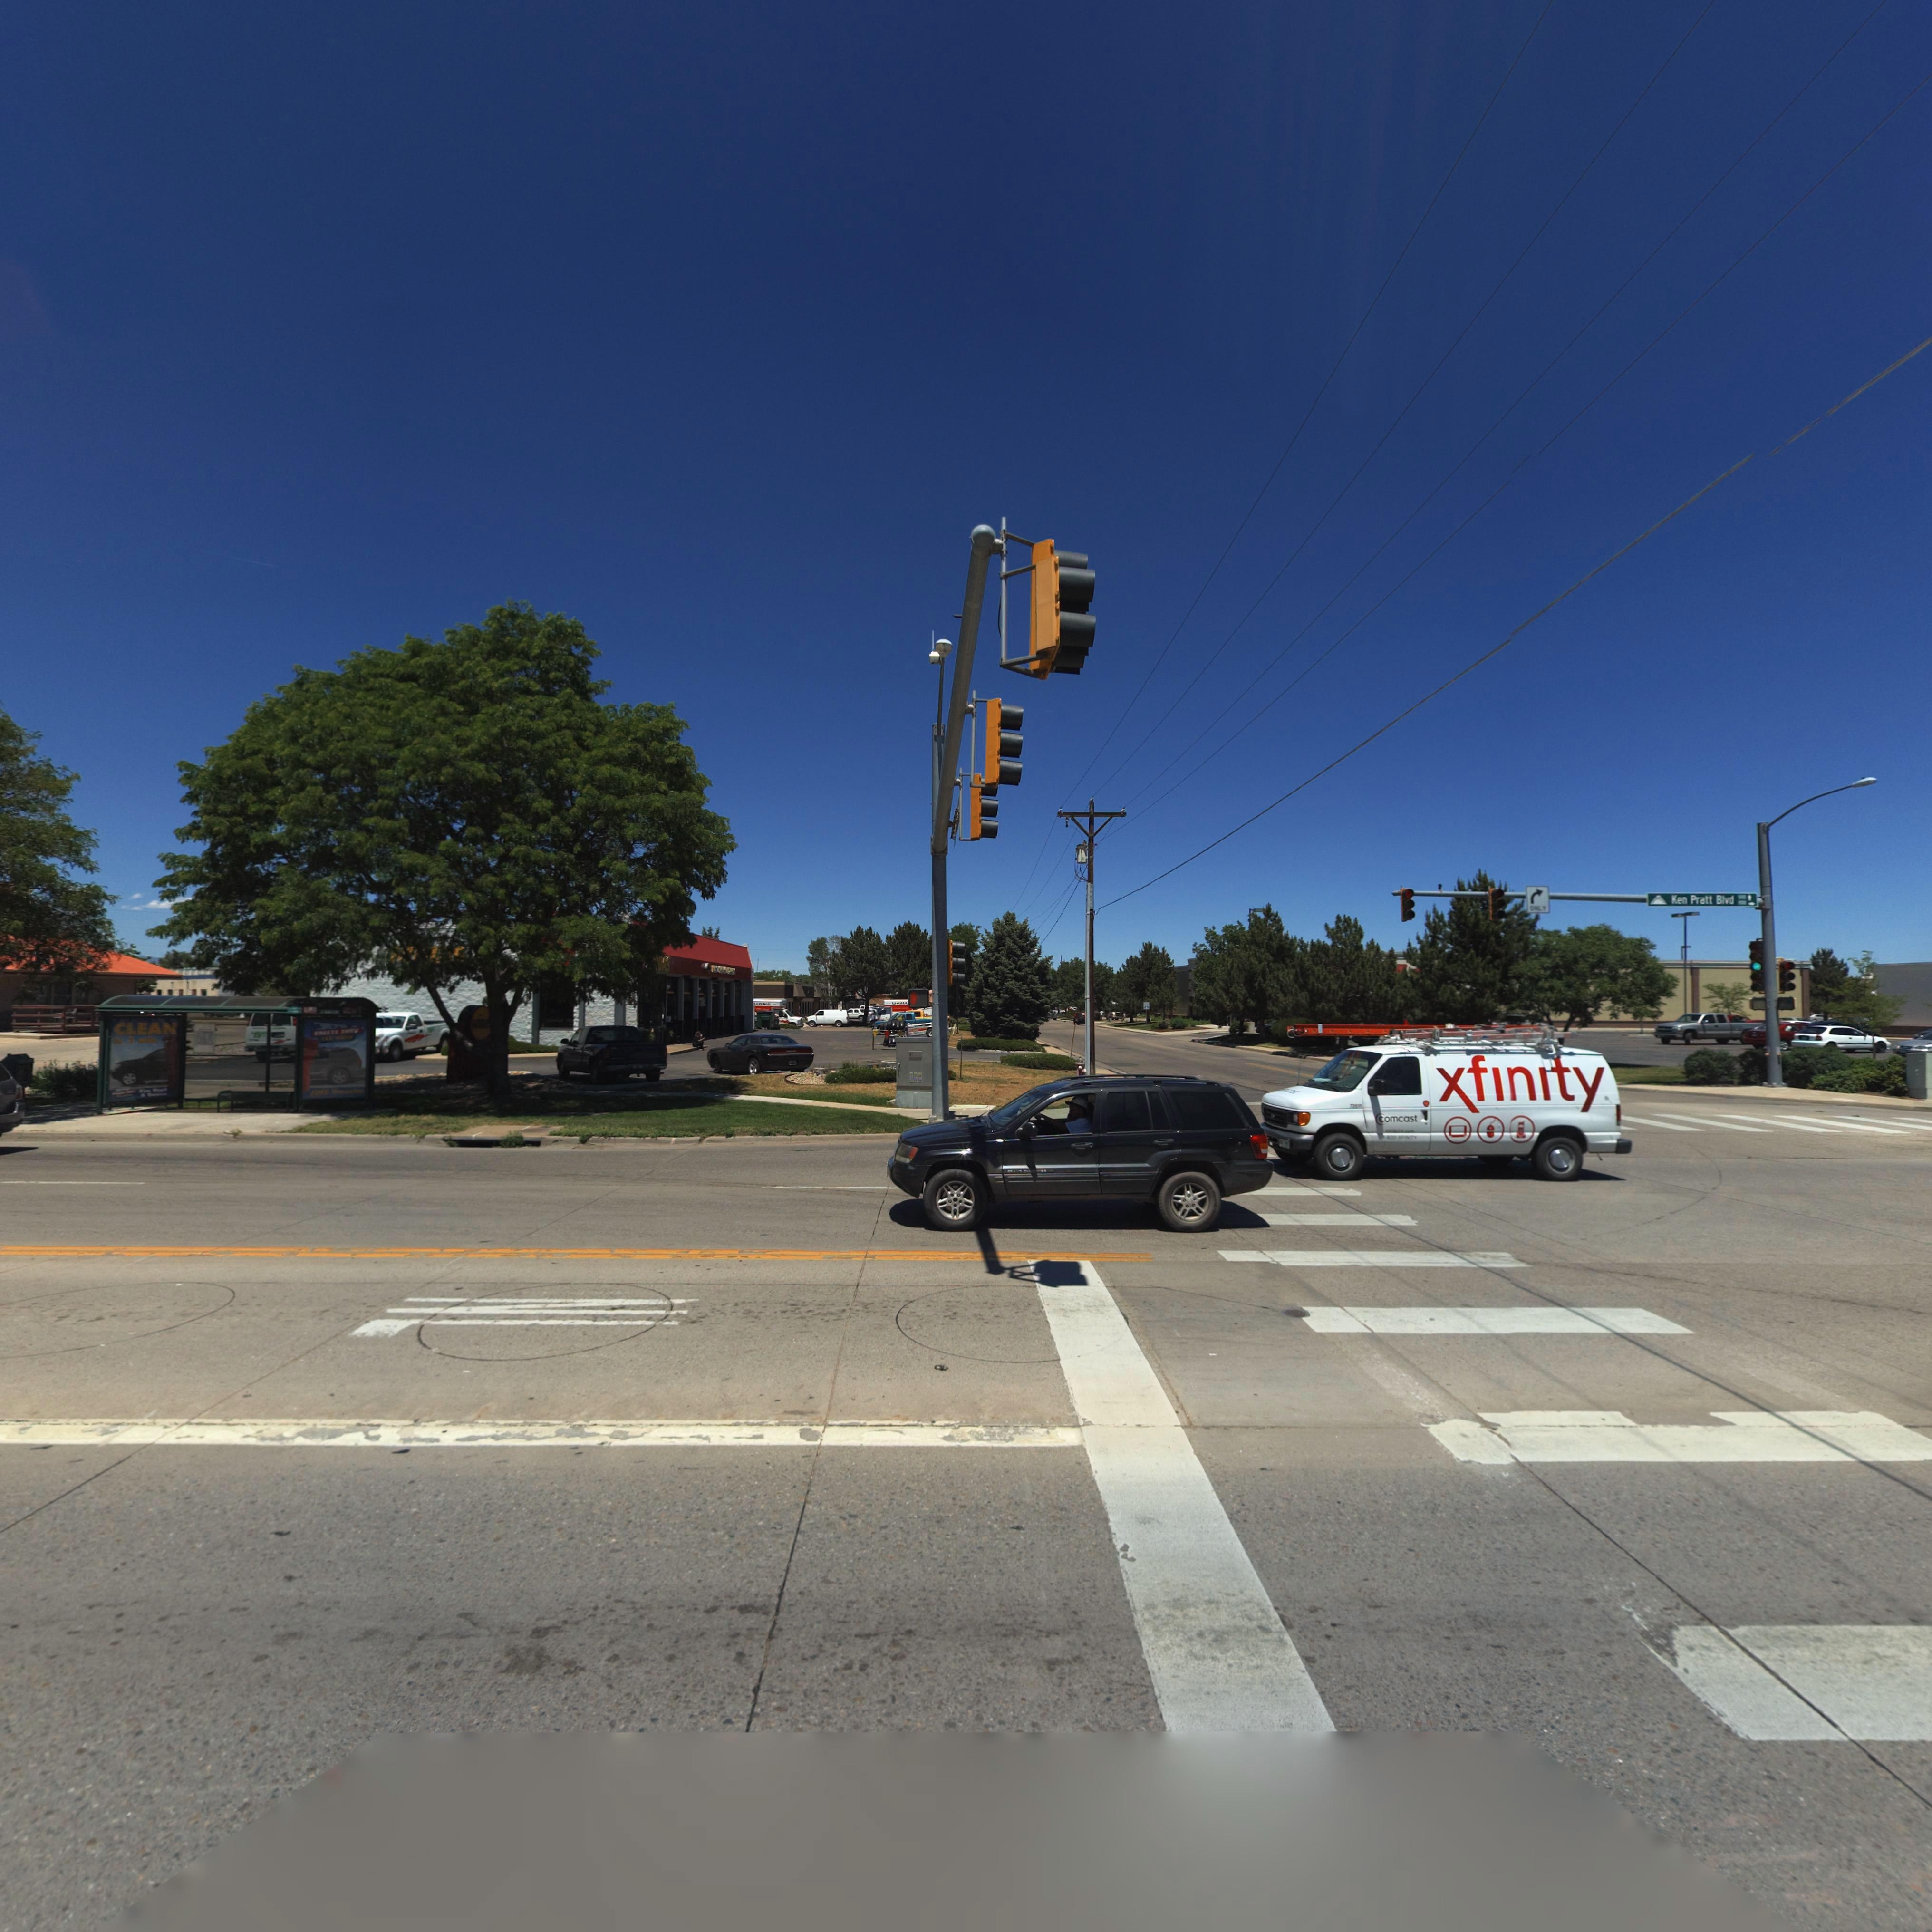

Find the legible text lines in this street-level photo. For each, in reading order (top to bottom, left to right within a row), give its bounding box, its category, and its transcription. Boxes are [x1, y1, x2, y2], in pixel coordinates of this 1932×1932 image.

[1671, 895, 1735, 905] BusinessName: Ken Pratt Blvd
[657, 955, 671, 973] BusinessName: DAS